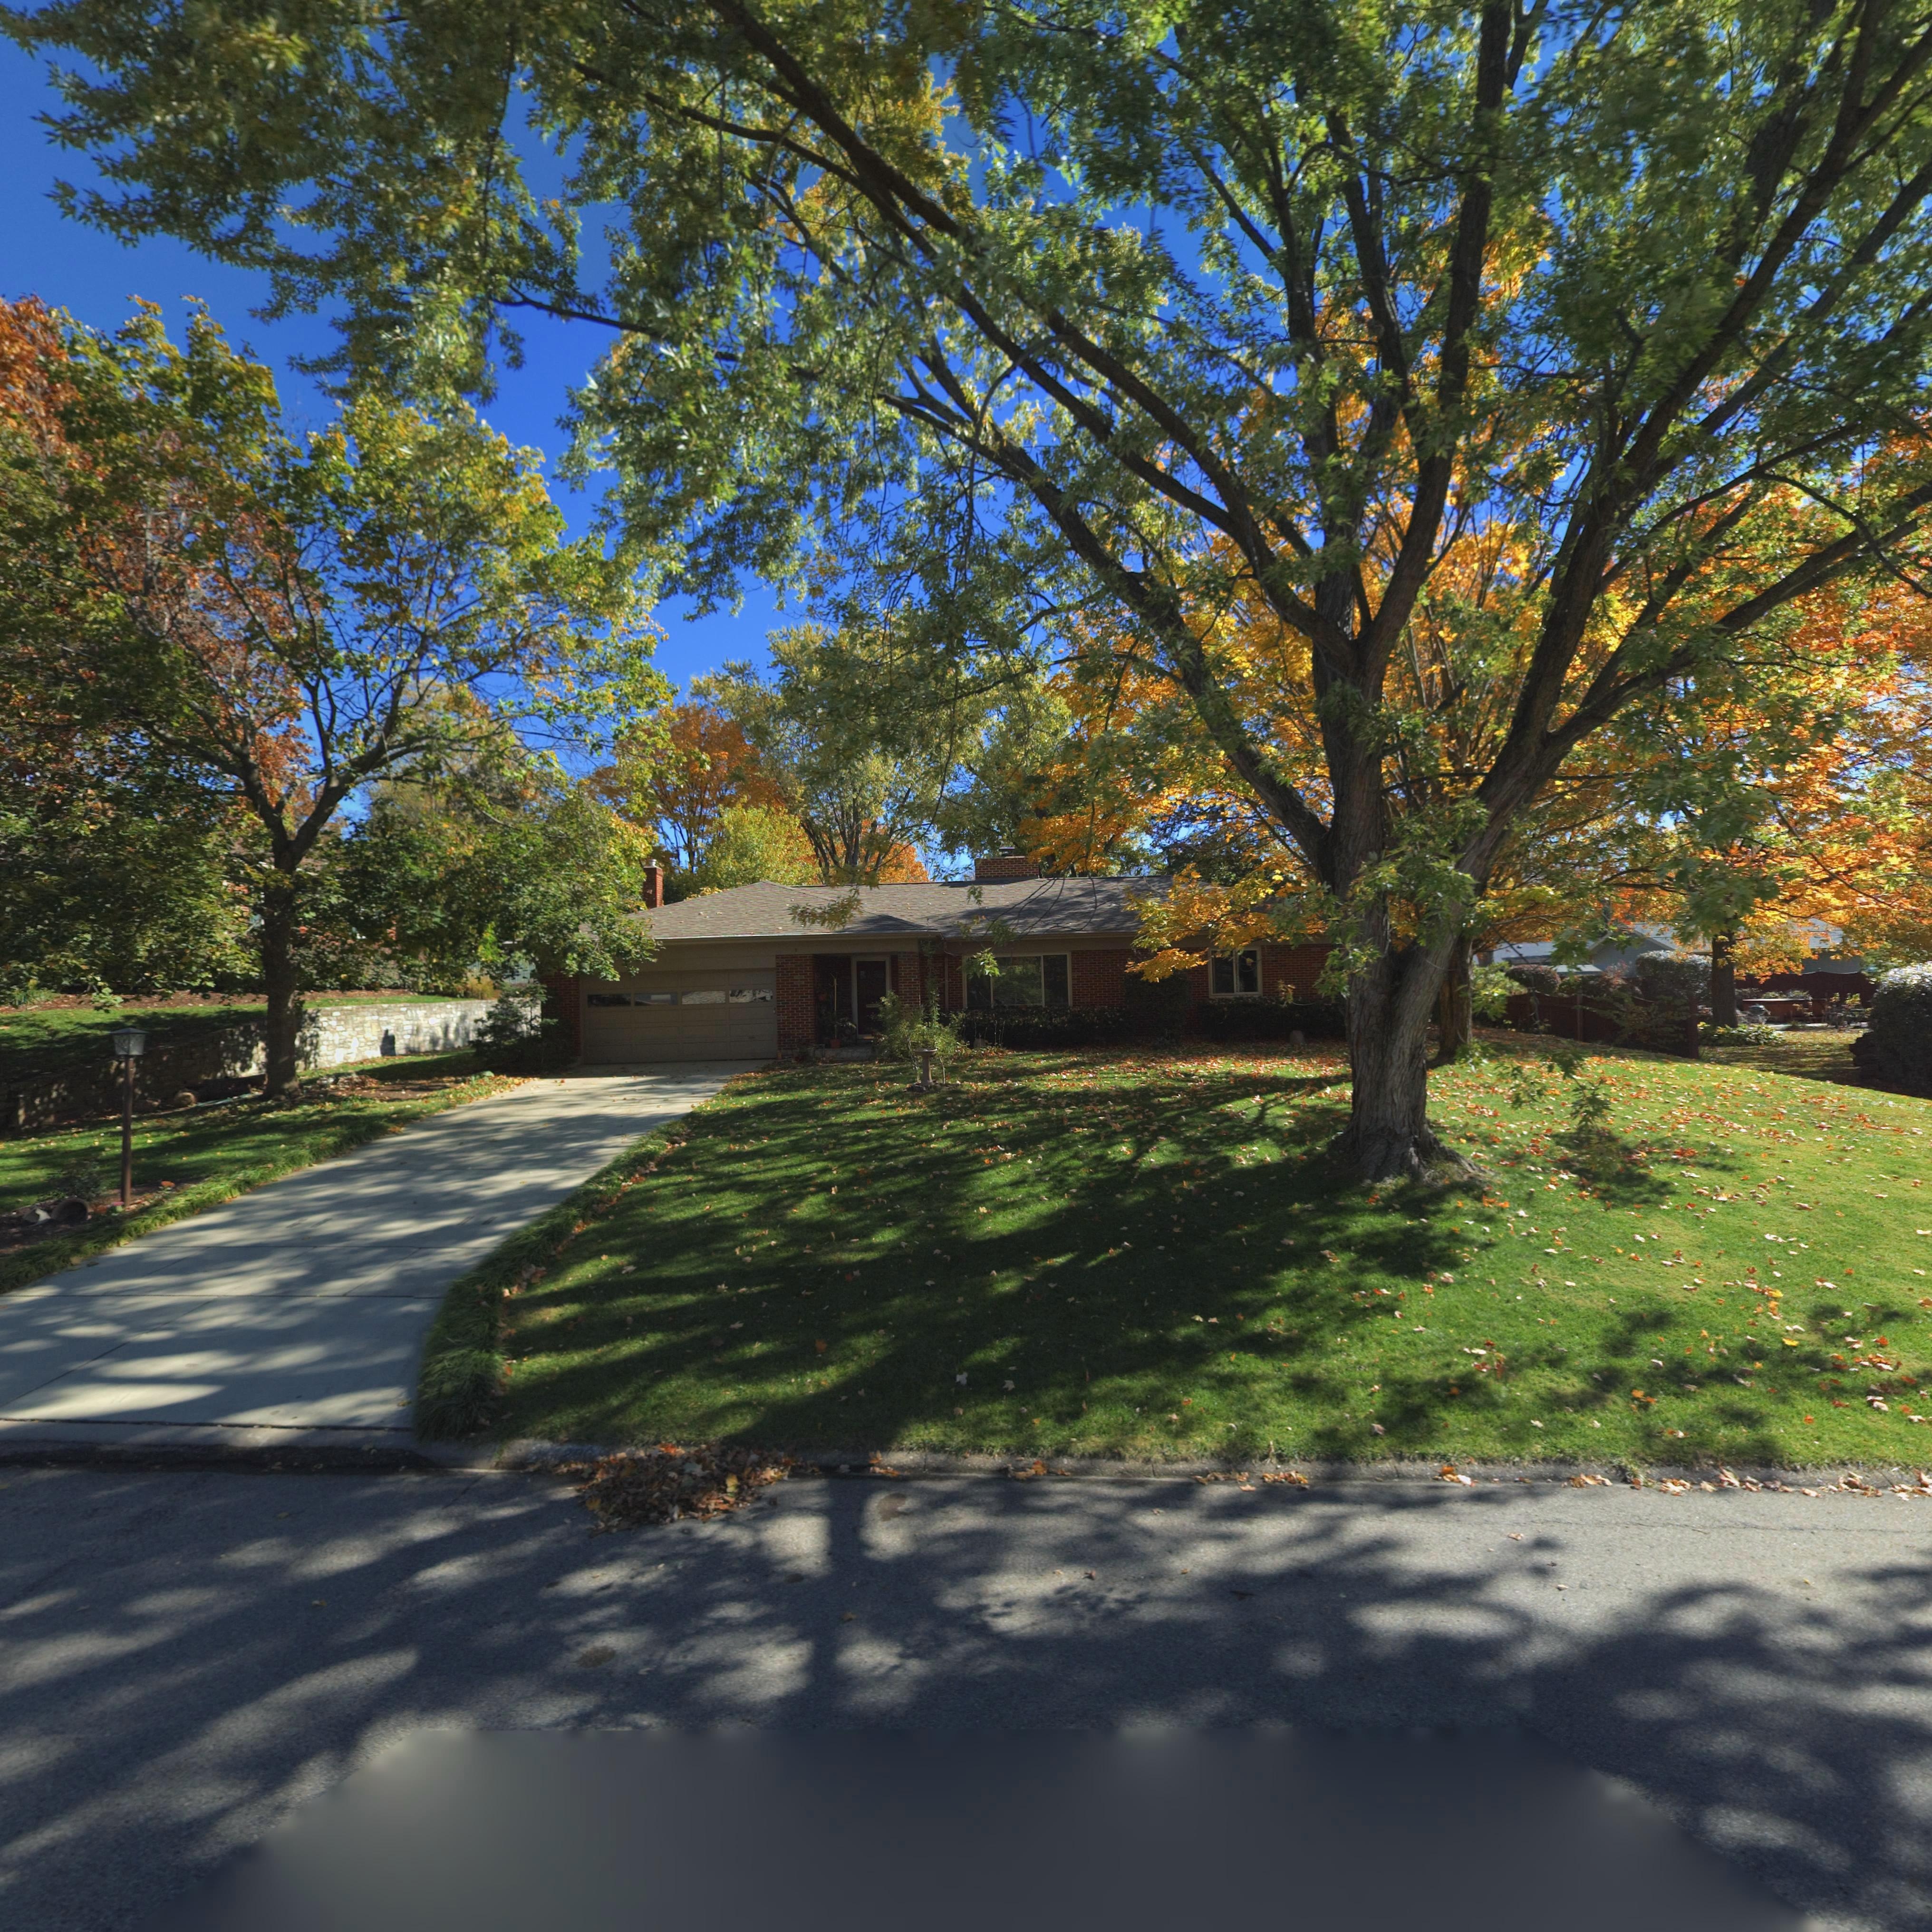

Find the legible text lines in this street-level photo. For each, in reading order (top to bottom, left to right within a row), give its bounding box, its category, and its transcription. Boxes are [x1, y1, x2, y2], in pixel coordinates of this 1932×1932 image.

[558, 1447, 597, 1461] StreetNumber: 2**